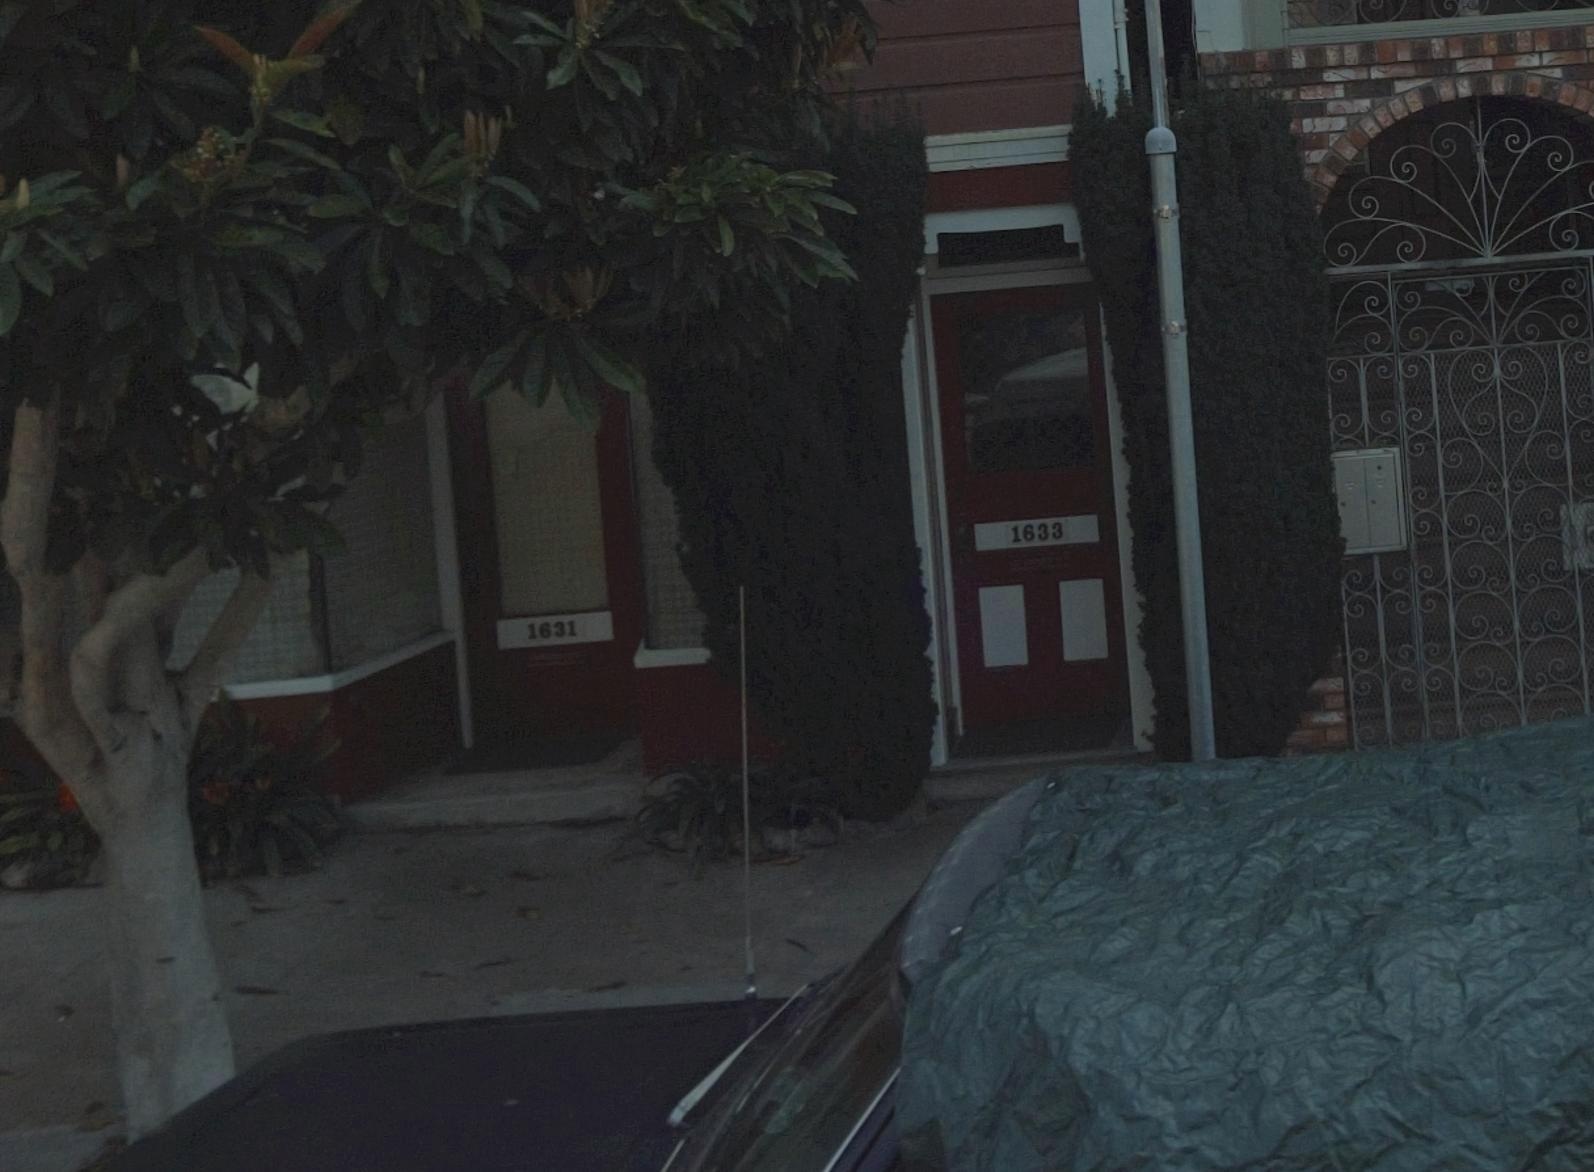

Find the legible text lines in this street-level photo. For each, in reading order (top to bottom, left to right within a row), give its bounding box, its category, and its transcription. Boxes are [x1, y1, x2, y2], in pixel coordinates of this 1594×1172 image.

[1009, 519, 1065, 545] StreetNumber: 1633
[524, 616, 581, 643] StreetNumber: 1631